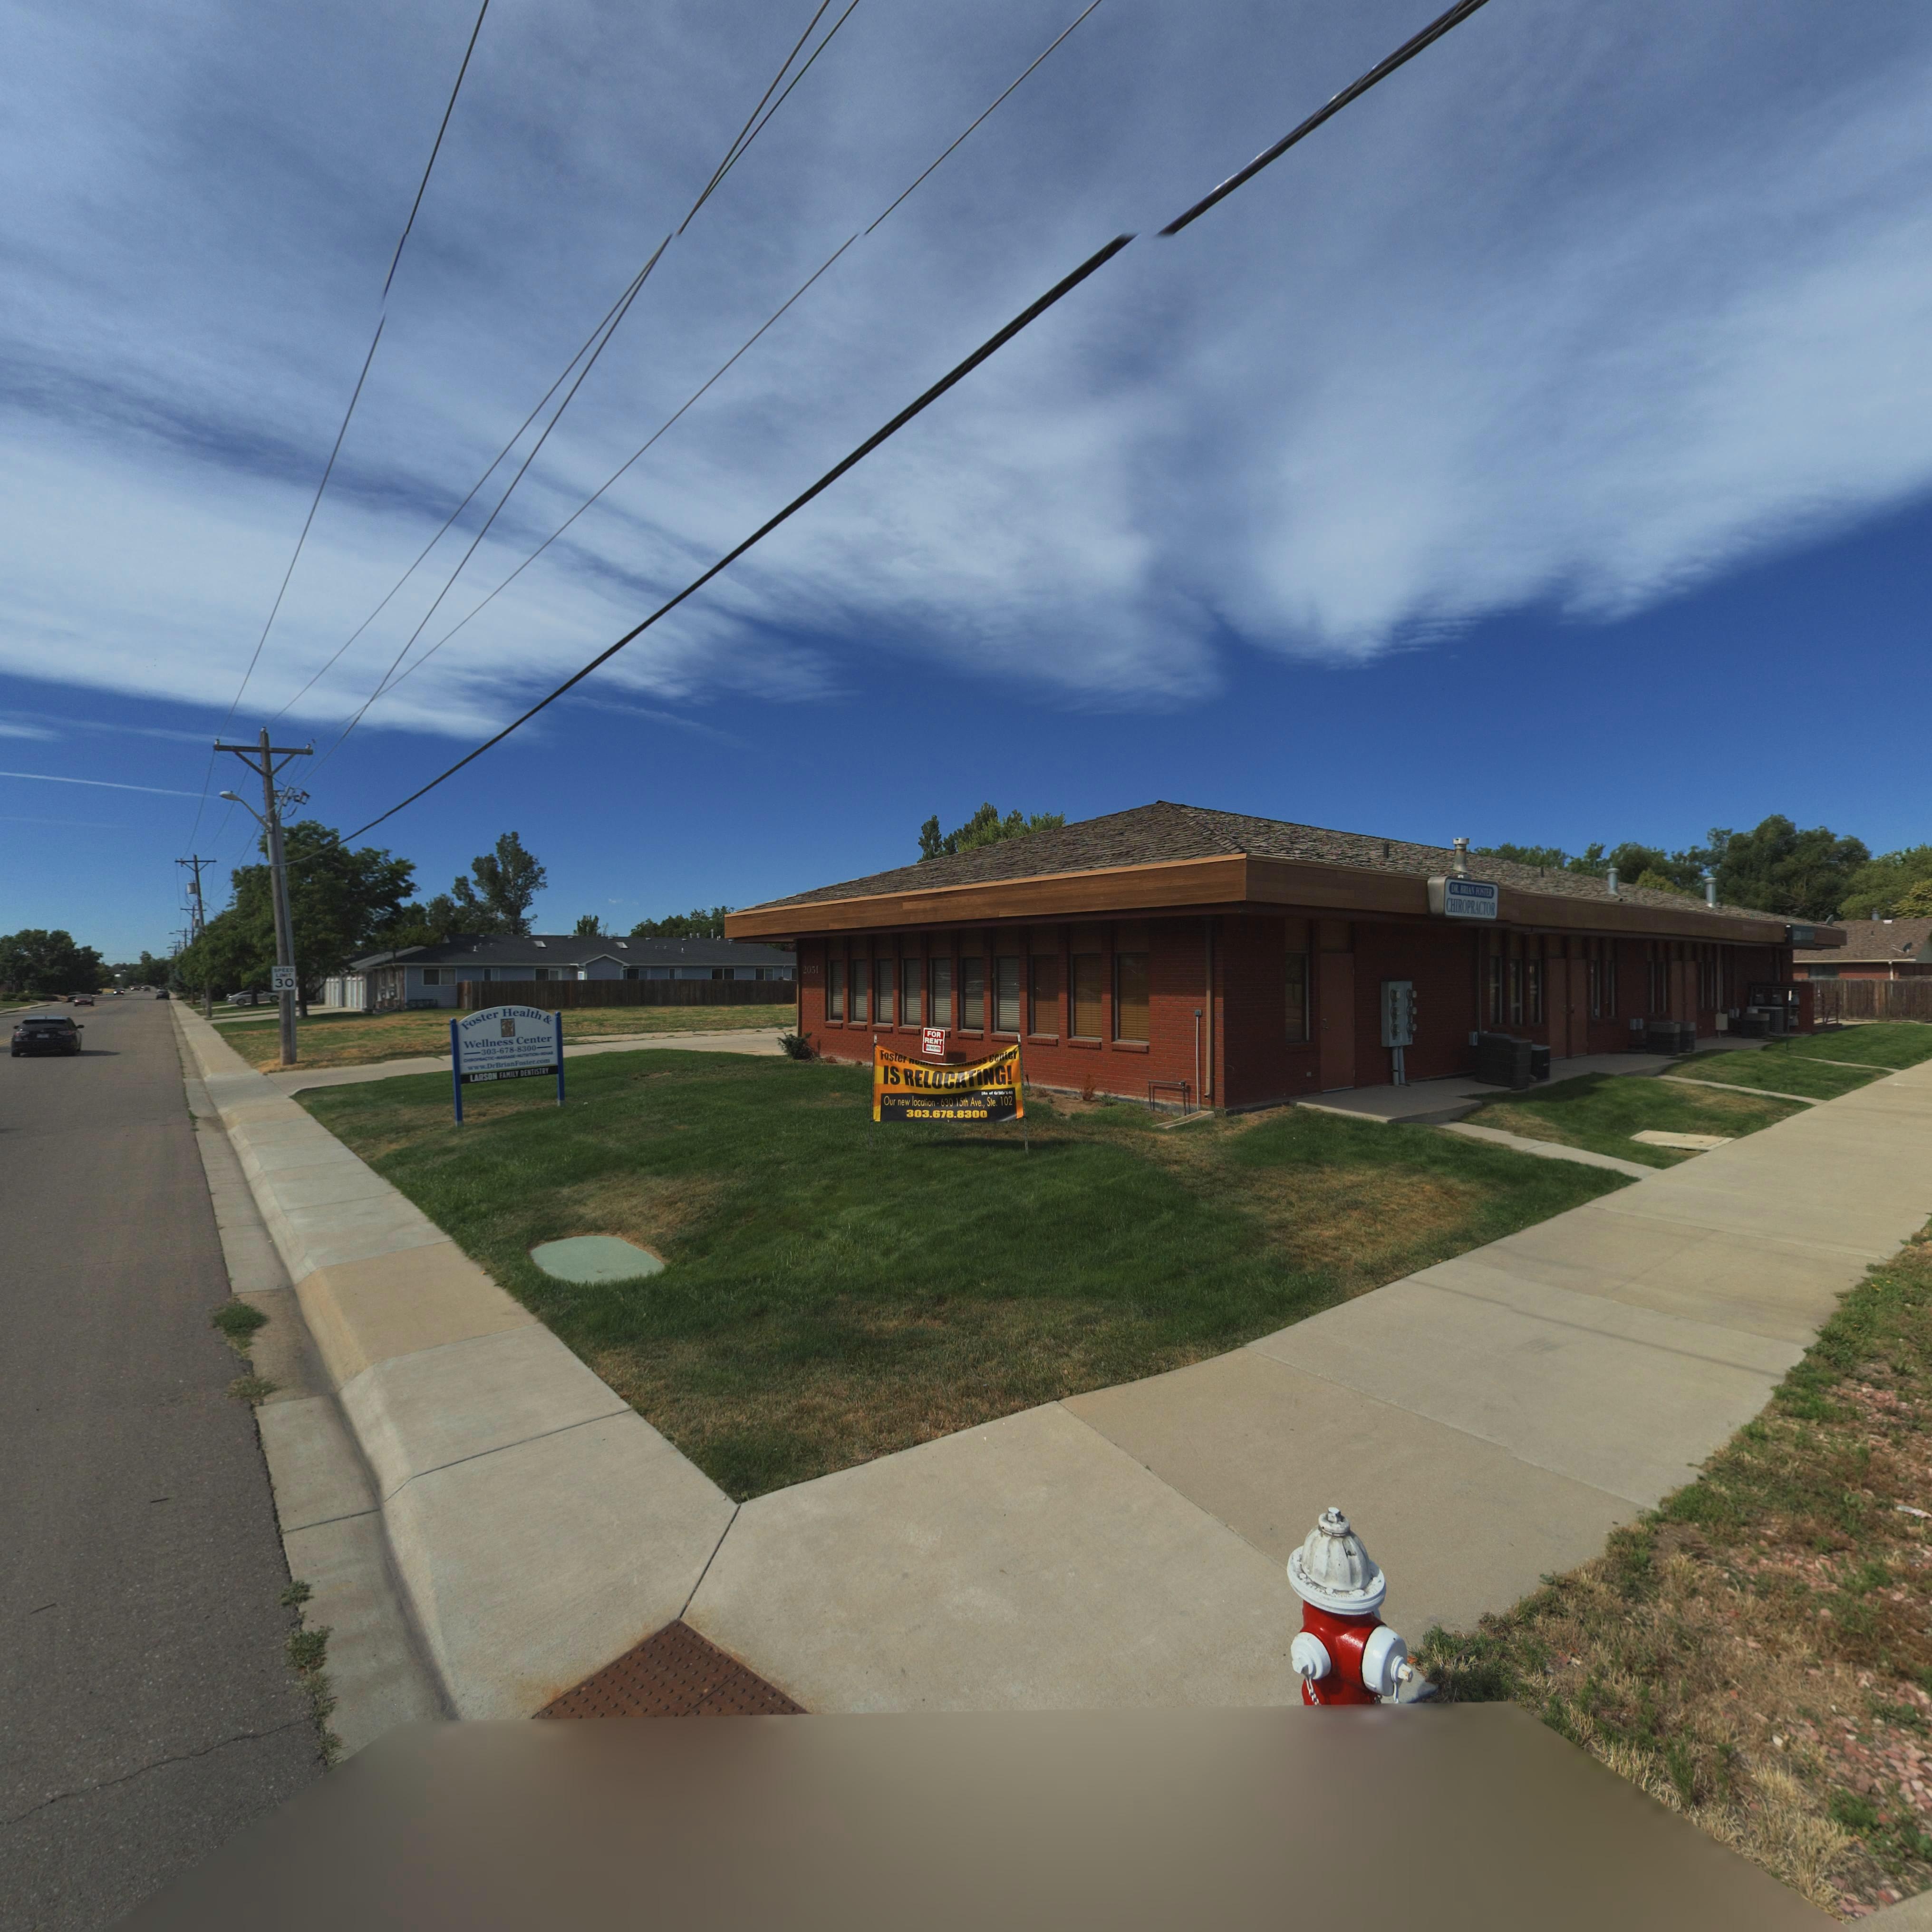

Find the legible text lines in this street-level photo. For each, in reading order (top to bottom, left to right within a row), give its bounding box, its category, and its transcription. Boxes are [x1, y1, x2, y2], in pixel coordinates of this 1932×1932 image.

[1451, 883, 1492, 897] BusinessName: DR. BRIAN FOSTER
[802, 965, 818, 974] StreetNumber: 2051
[459, 1007, 553, 1031] BusinessName: Foster Health &
[463, 1035, 552, 1048] BusinessName: Wellness Center
[469, 1067, 549, 1082] BusinessName: LARSON FAMILY DENTISTRY